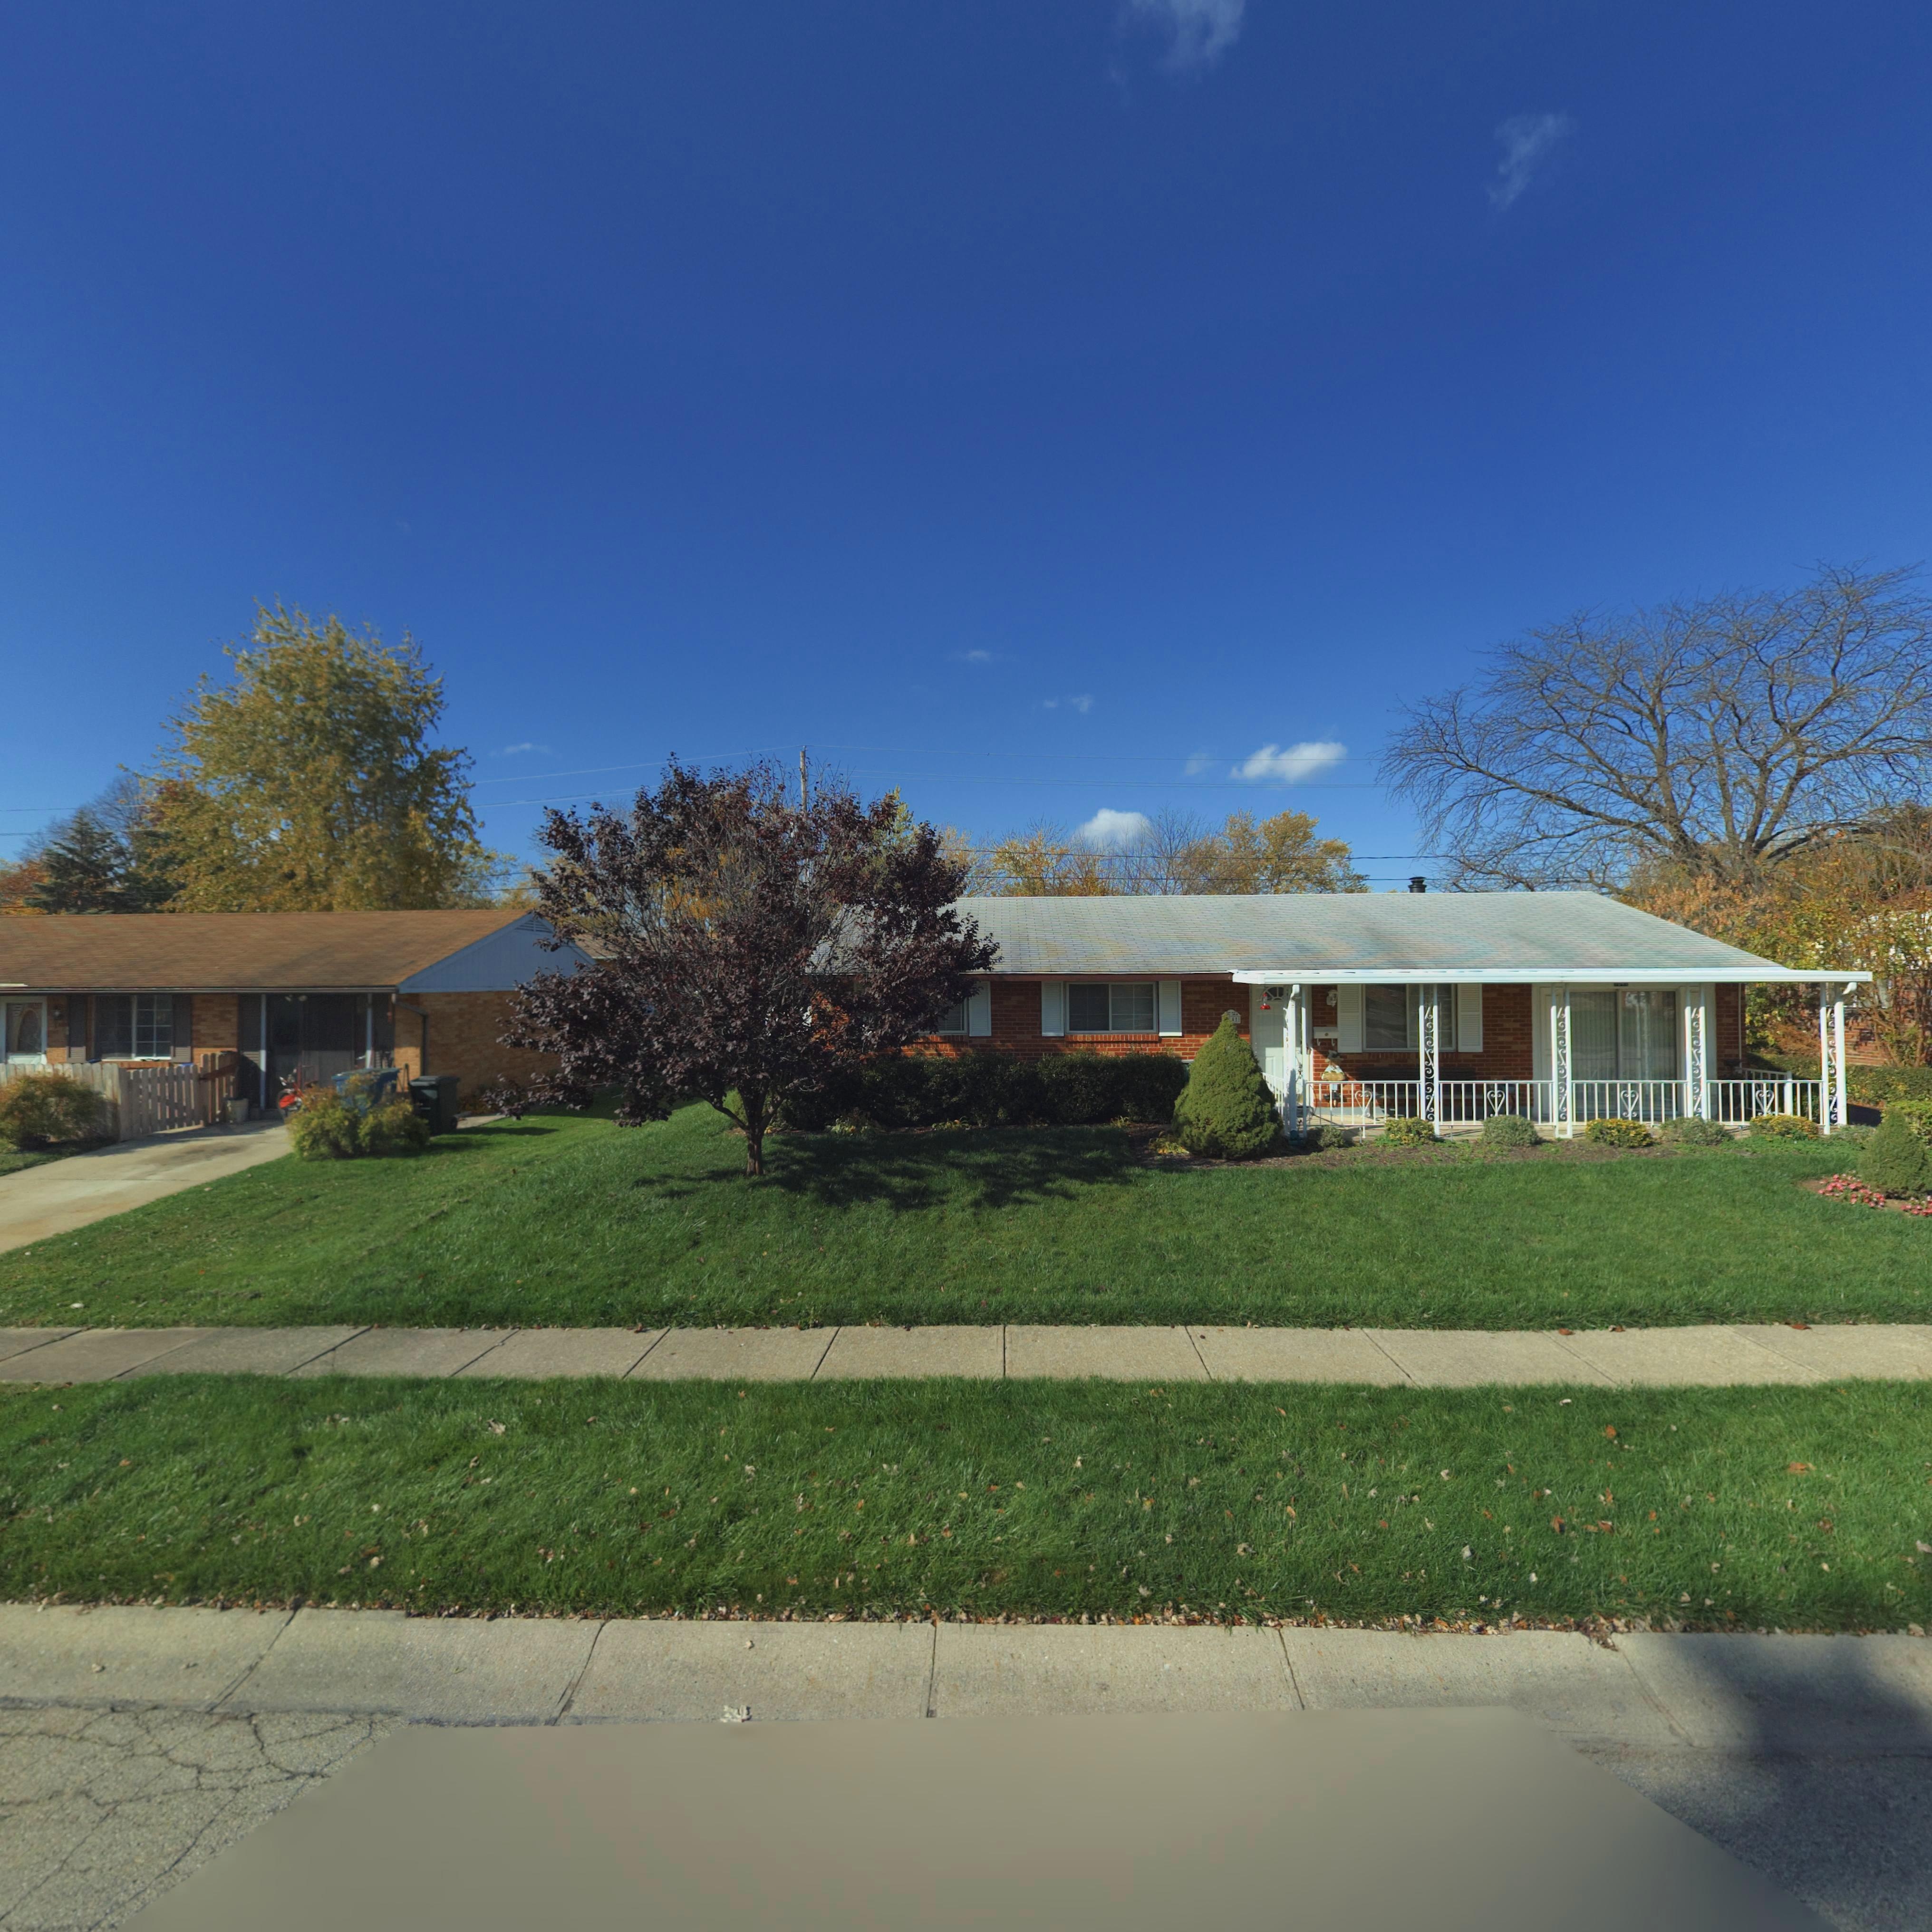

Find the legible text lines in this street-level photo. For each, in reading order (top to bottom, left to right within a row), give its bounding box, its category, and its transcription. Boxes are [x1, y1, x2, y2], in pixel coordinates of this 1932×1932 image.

[1234, 1016, 1238, 1023] StreetNumber: 1